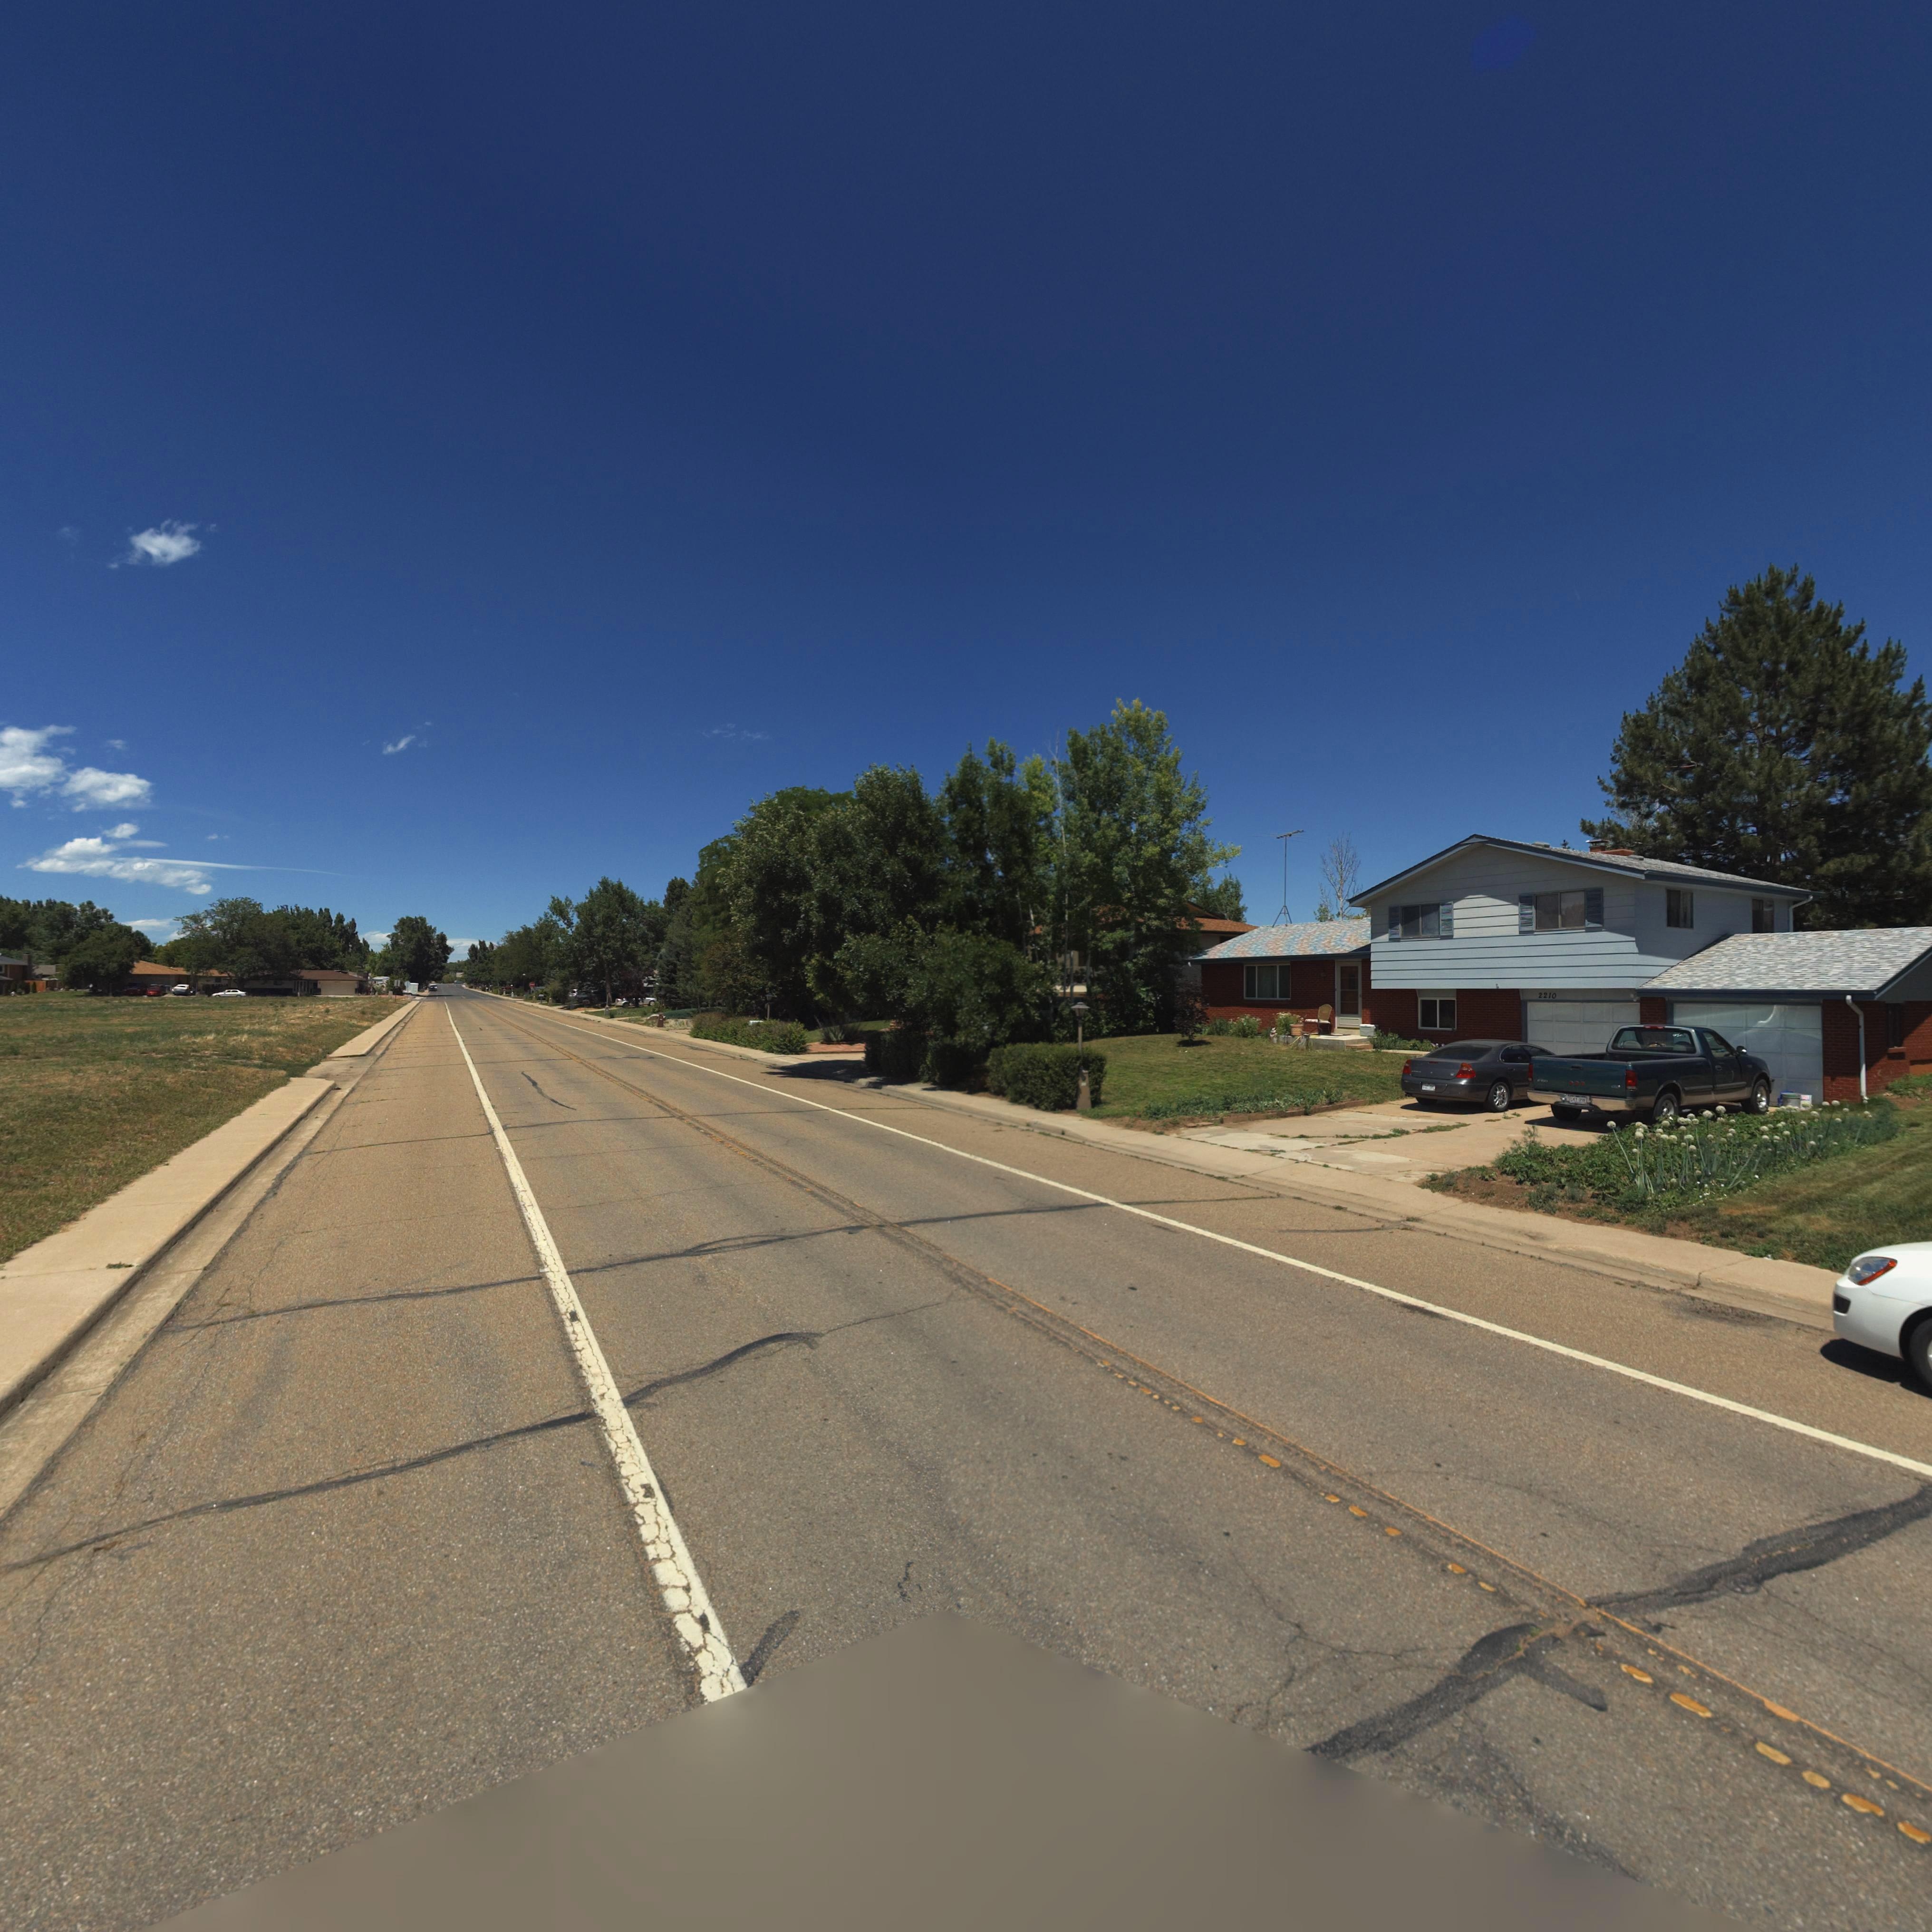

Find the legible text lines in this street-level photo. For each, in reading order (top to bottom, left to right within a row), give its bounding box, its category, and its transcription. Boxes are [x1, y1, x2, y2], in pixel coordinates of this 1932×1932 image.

[1538, 992, 1557, 999] StreetNumber: 2210